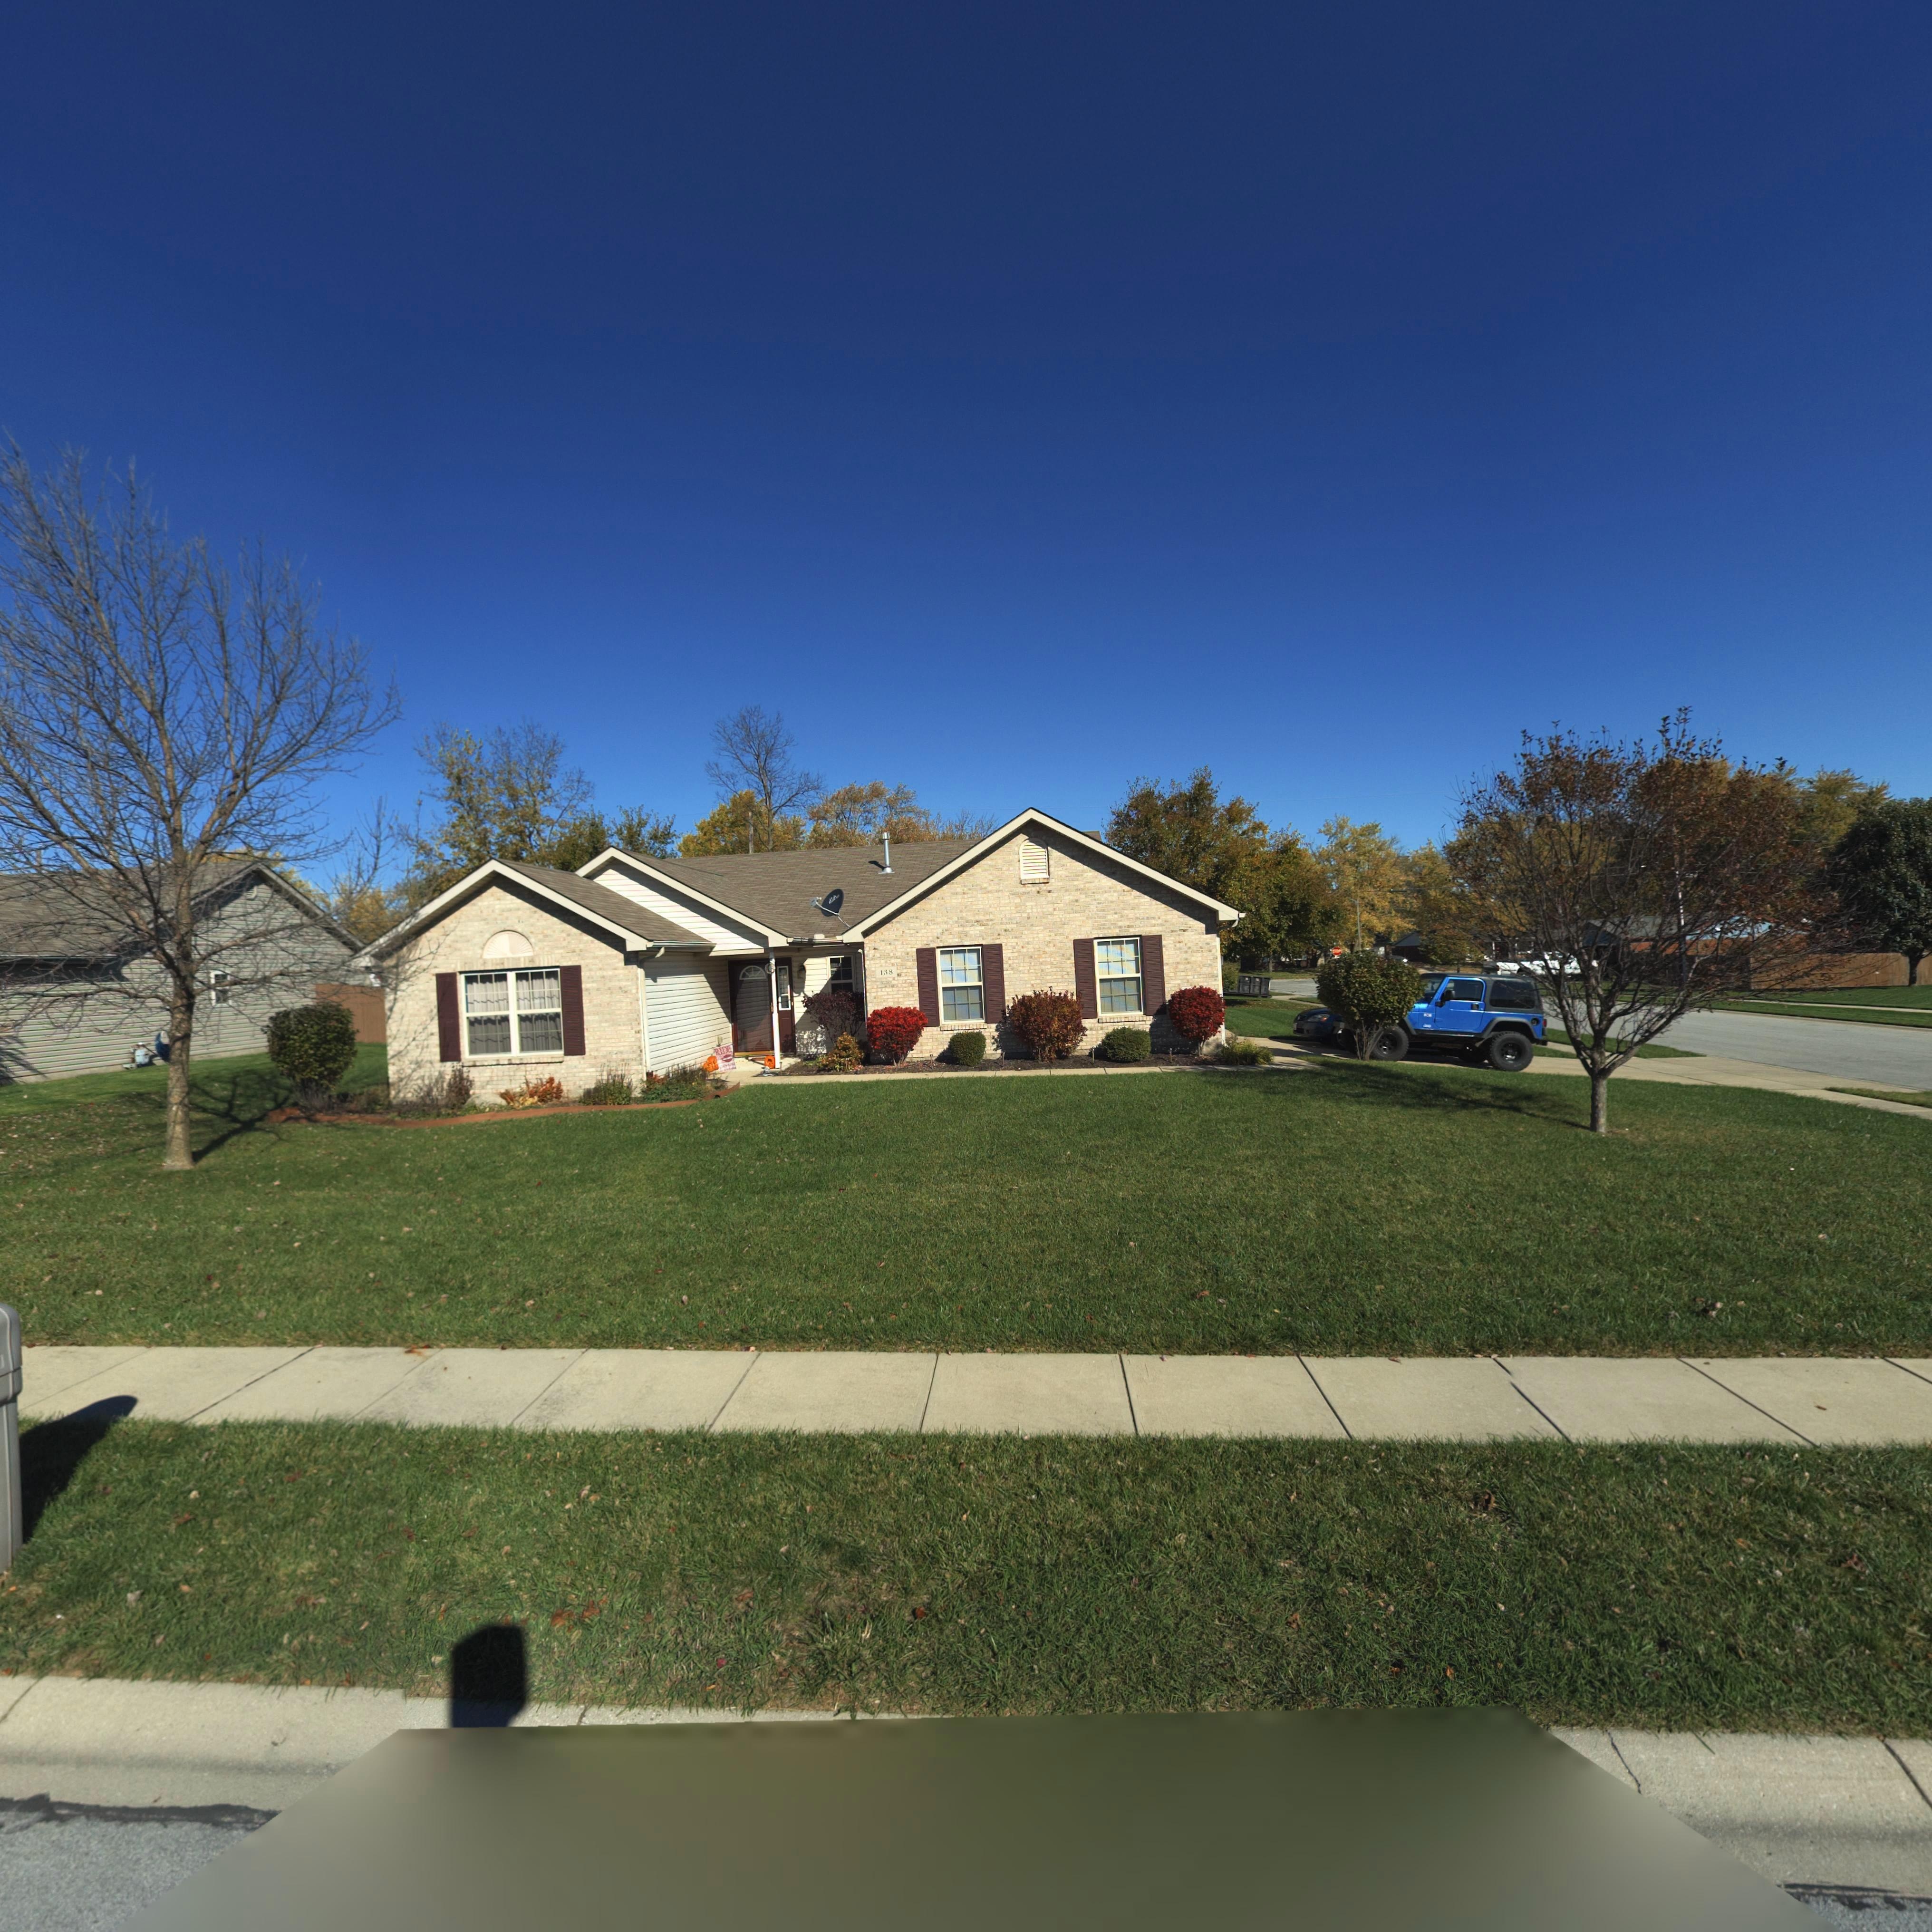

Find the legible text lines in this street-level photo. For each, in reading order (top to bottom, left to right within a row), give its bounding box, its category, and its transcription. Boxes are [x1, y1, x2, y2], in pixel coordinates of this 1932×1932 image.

[880, 969, 893, 976] StreetNumber: 138